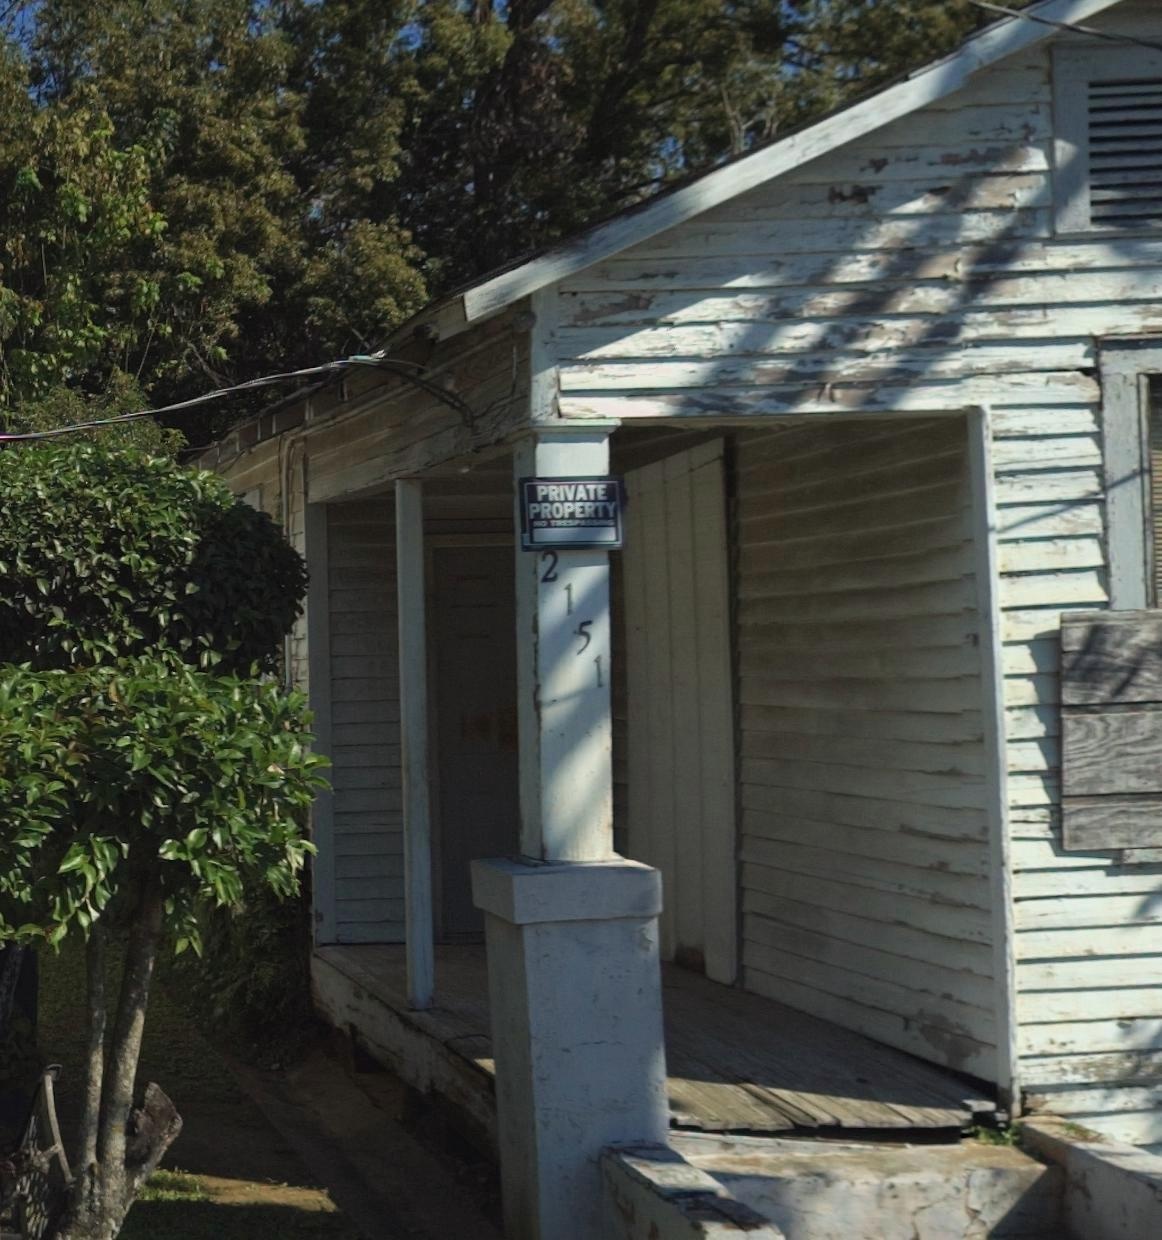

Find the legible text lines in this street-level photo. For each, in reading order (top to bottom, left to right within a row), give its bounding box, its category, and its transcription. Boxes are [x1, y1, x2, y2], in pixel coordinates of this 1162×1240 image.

[533, 480, 610, 504] None: PRIVATE
[526, 499, 619, 521] None: PROPERTY
[538, 547, 608, 690] StreetNumber: 2151